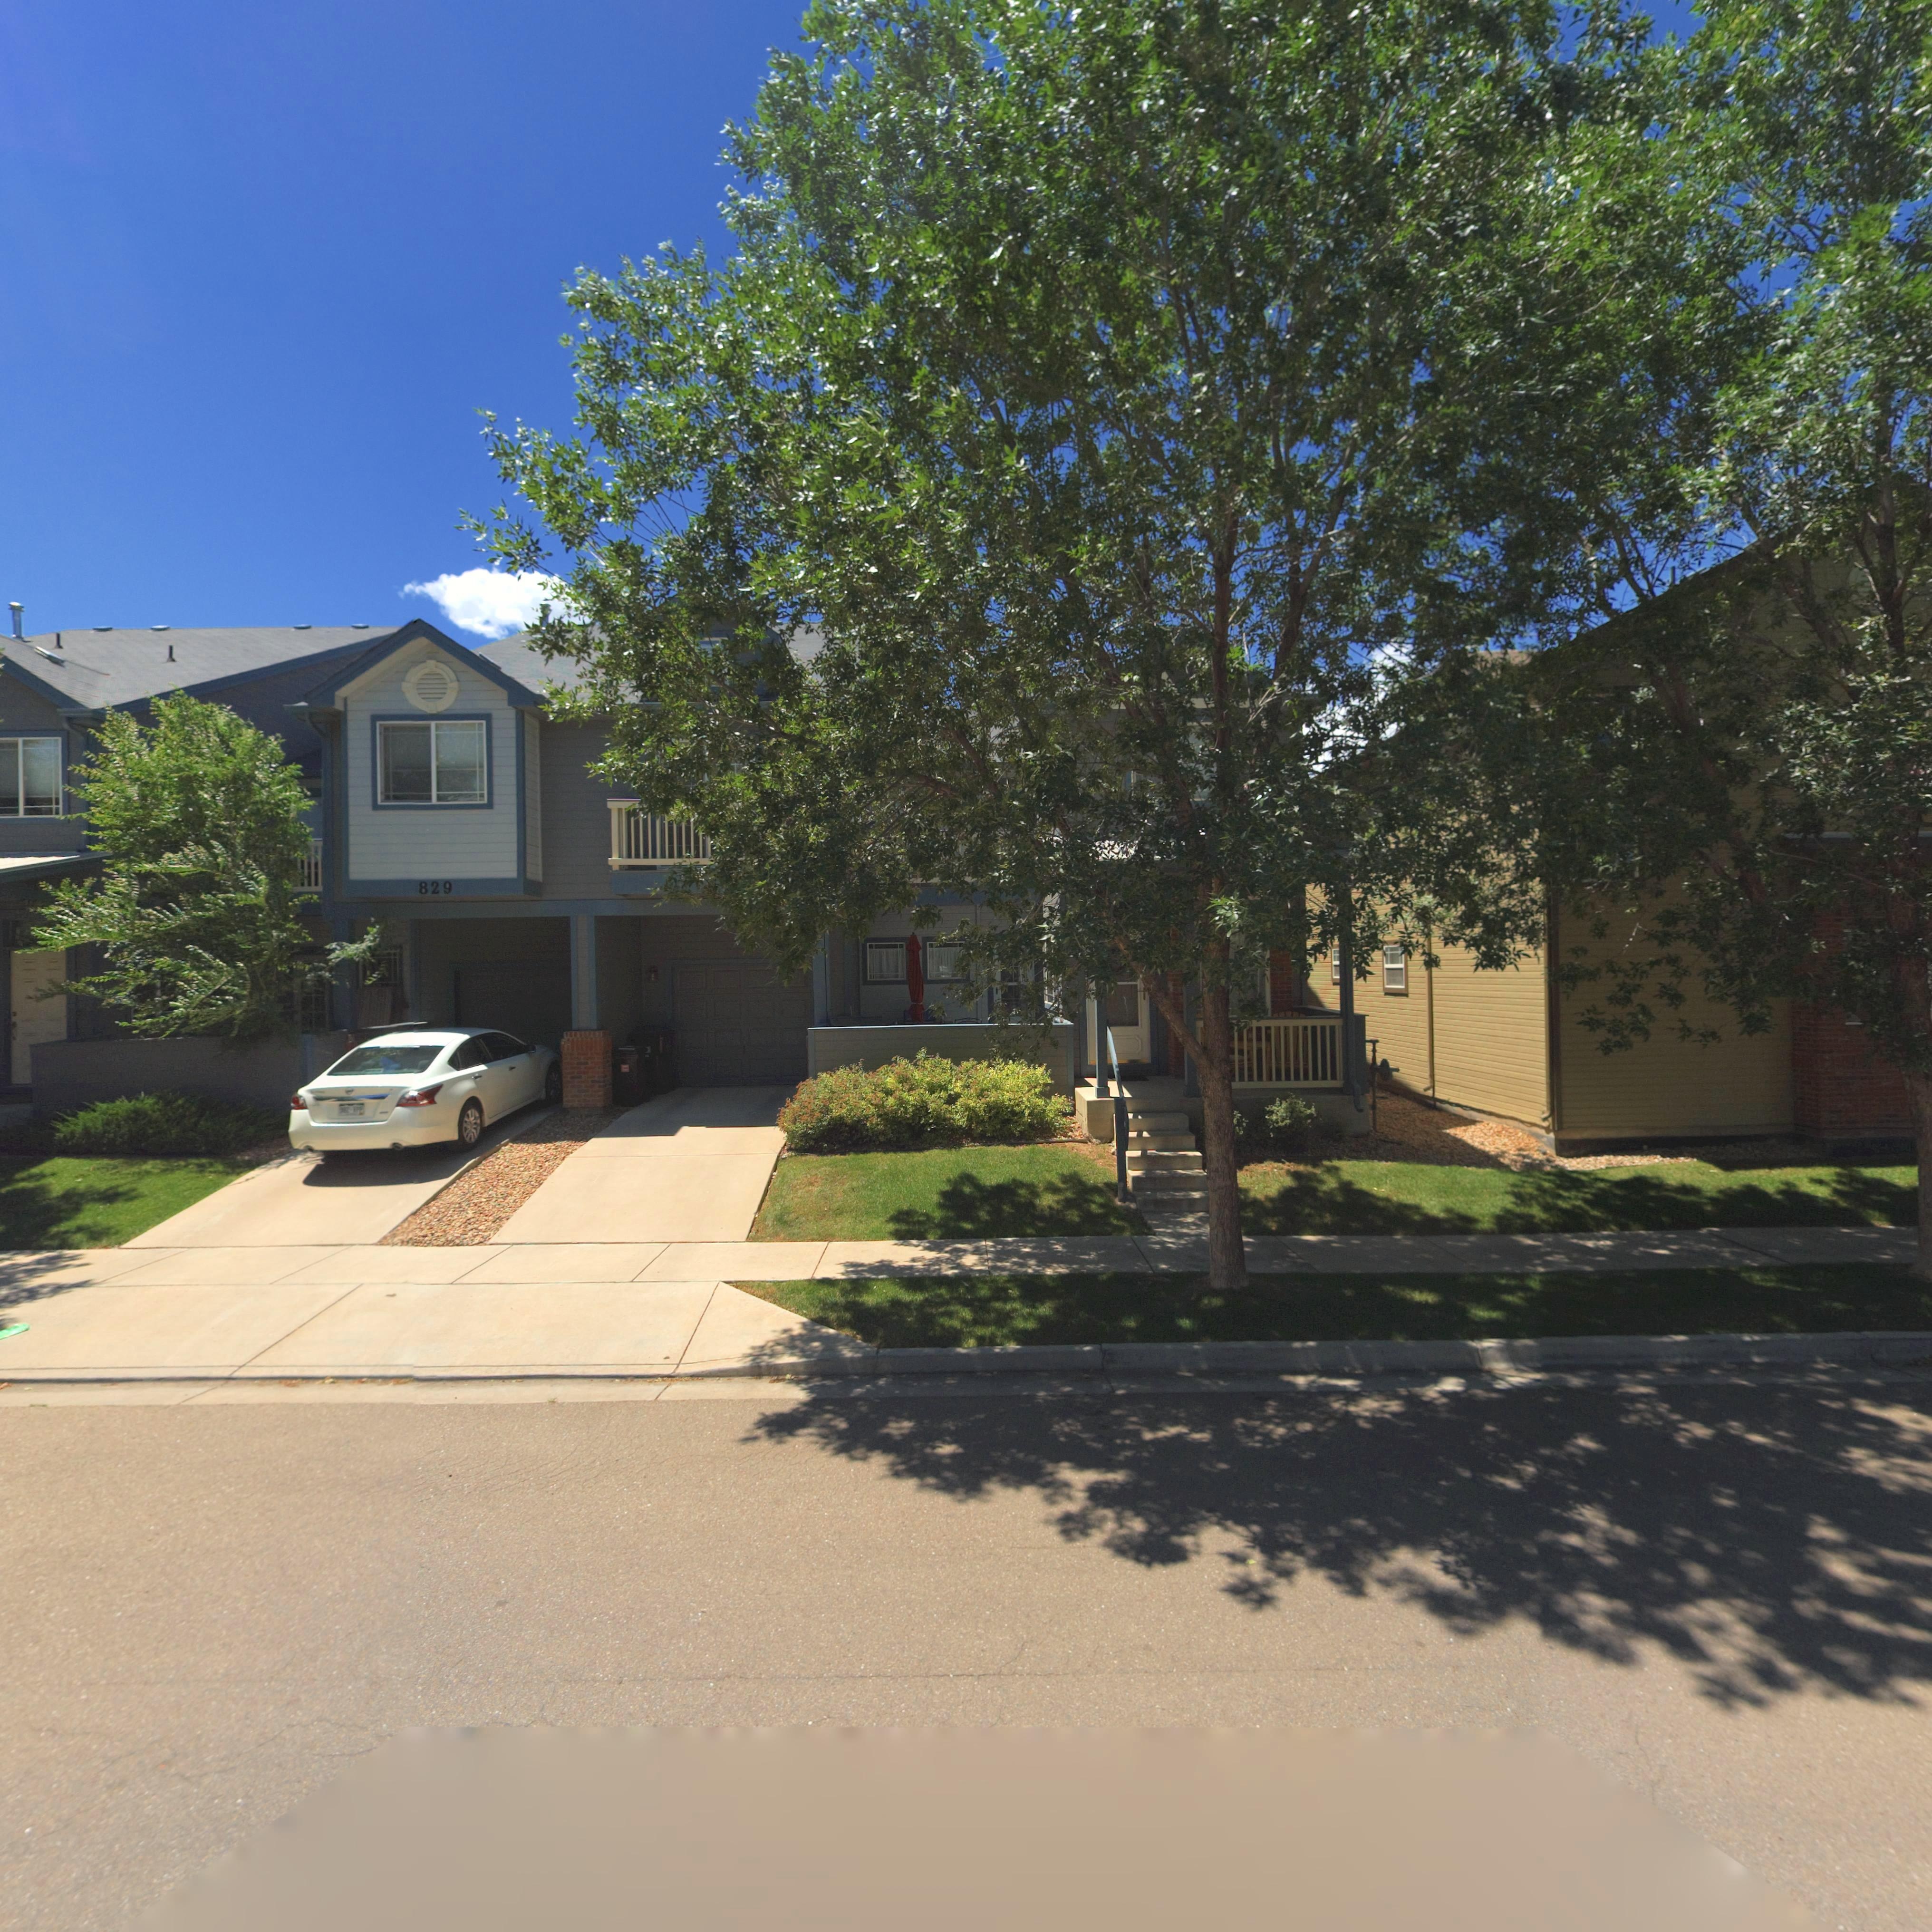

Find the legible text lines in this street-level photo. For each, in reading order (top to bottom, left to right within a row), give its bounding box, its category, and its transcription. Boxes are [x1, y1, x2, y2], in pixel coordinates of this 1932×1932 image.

[417, 880, 453, 895] StreetNumber: 829